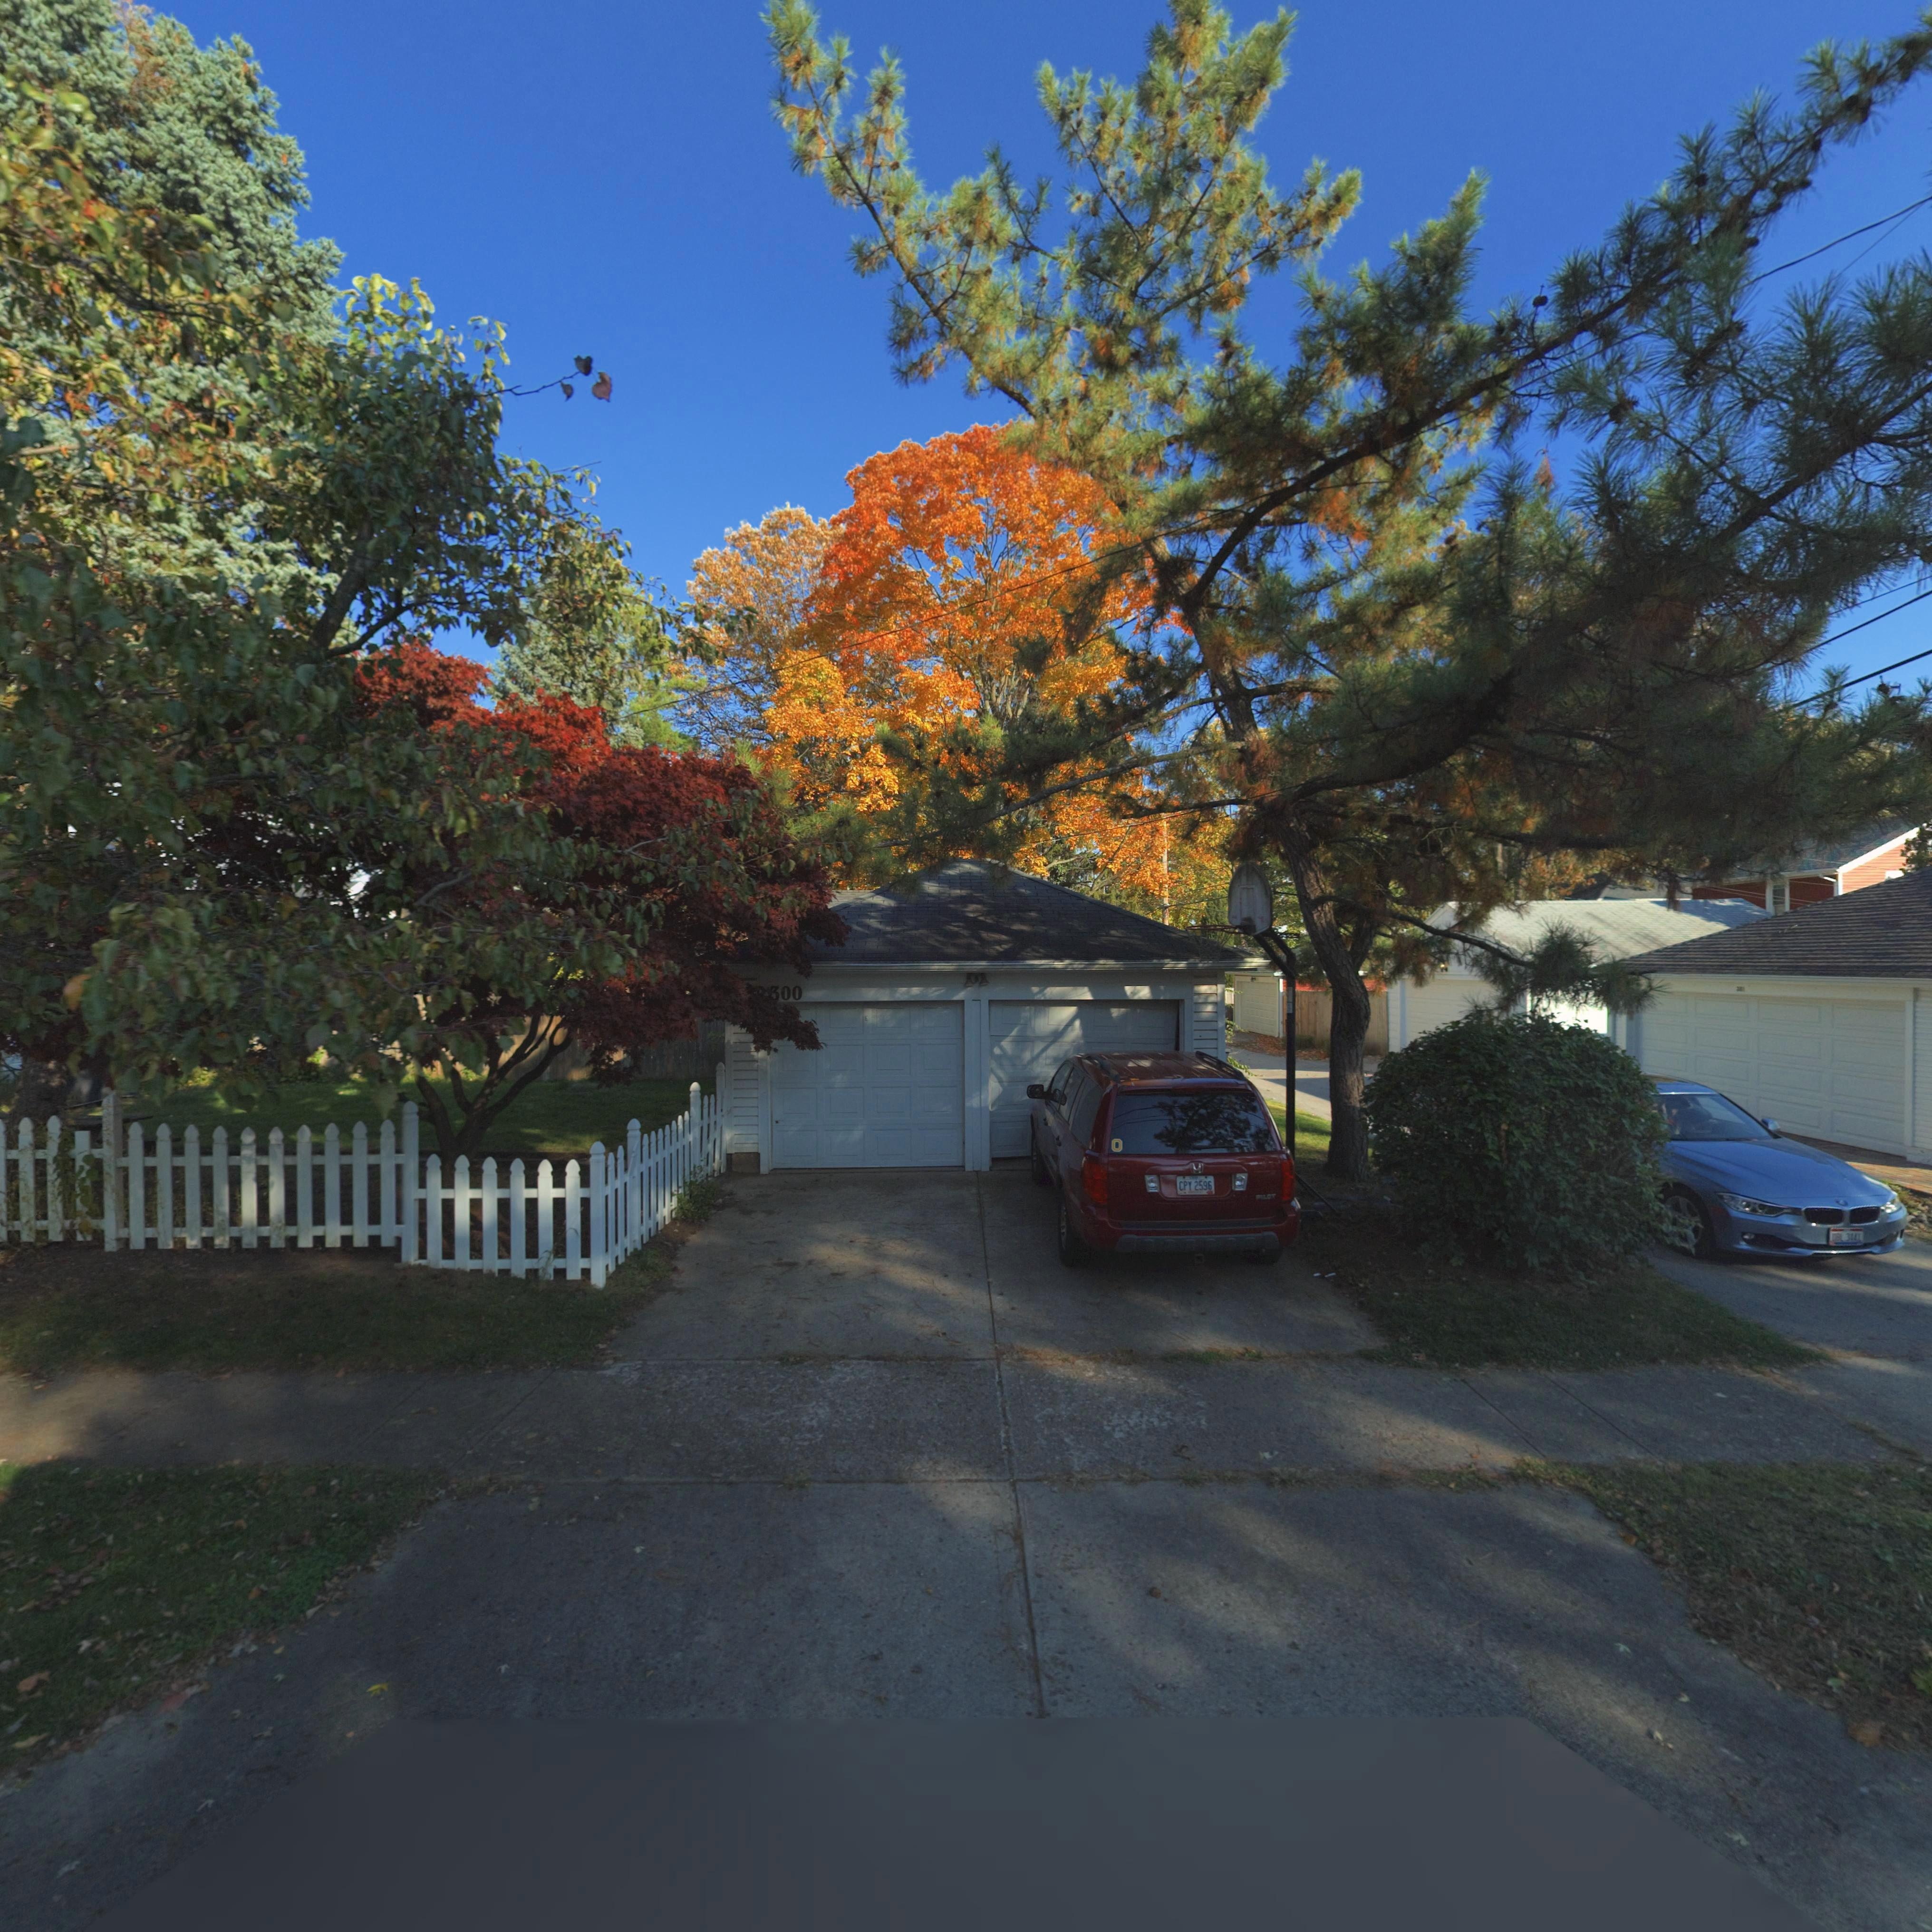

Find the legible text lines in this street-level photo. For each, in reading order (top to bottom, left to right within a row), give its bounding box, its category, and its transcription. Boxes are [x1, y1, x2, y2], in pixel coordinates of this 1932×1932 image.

[769, 985, 803, 1001] StreetNumber: 300